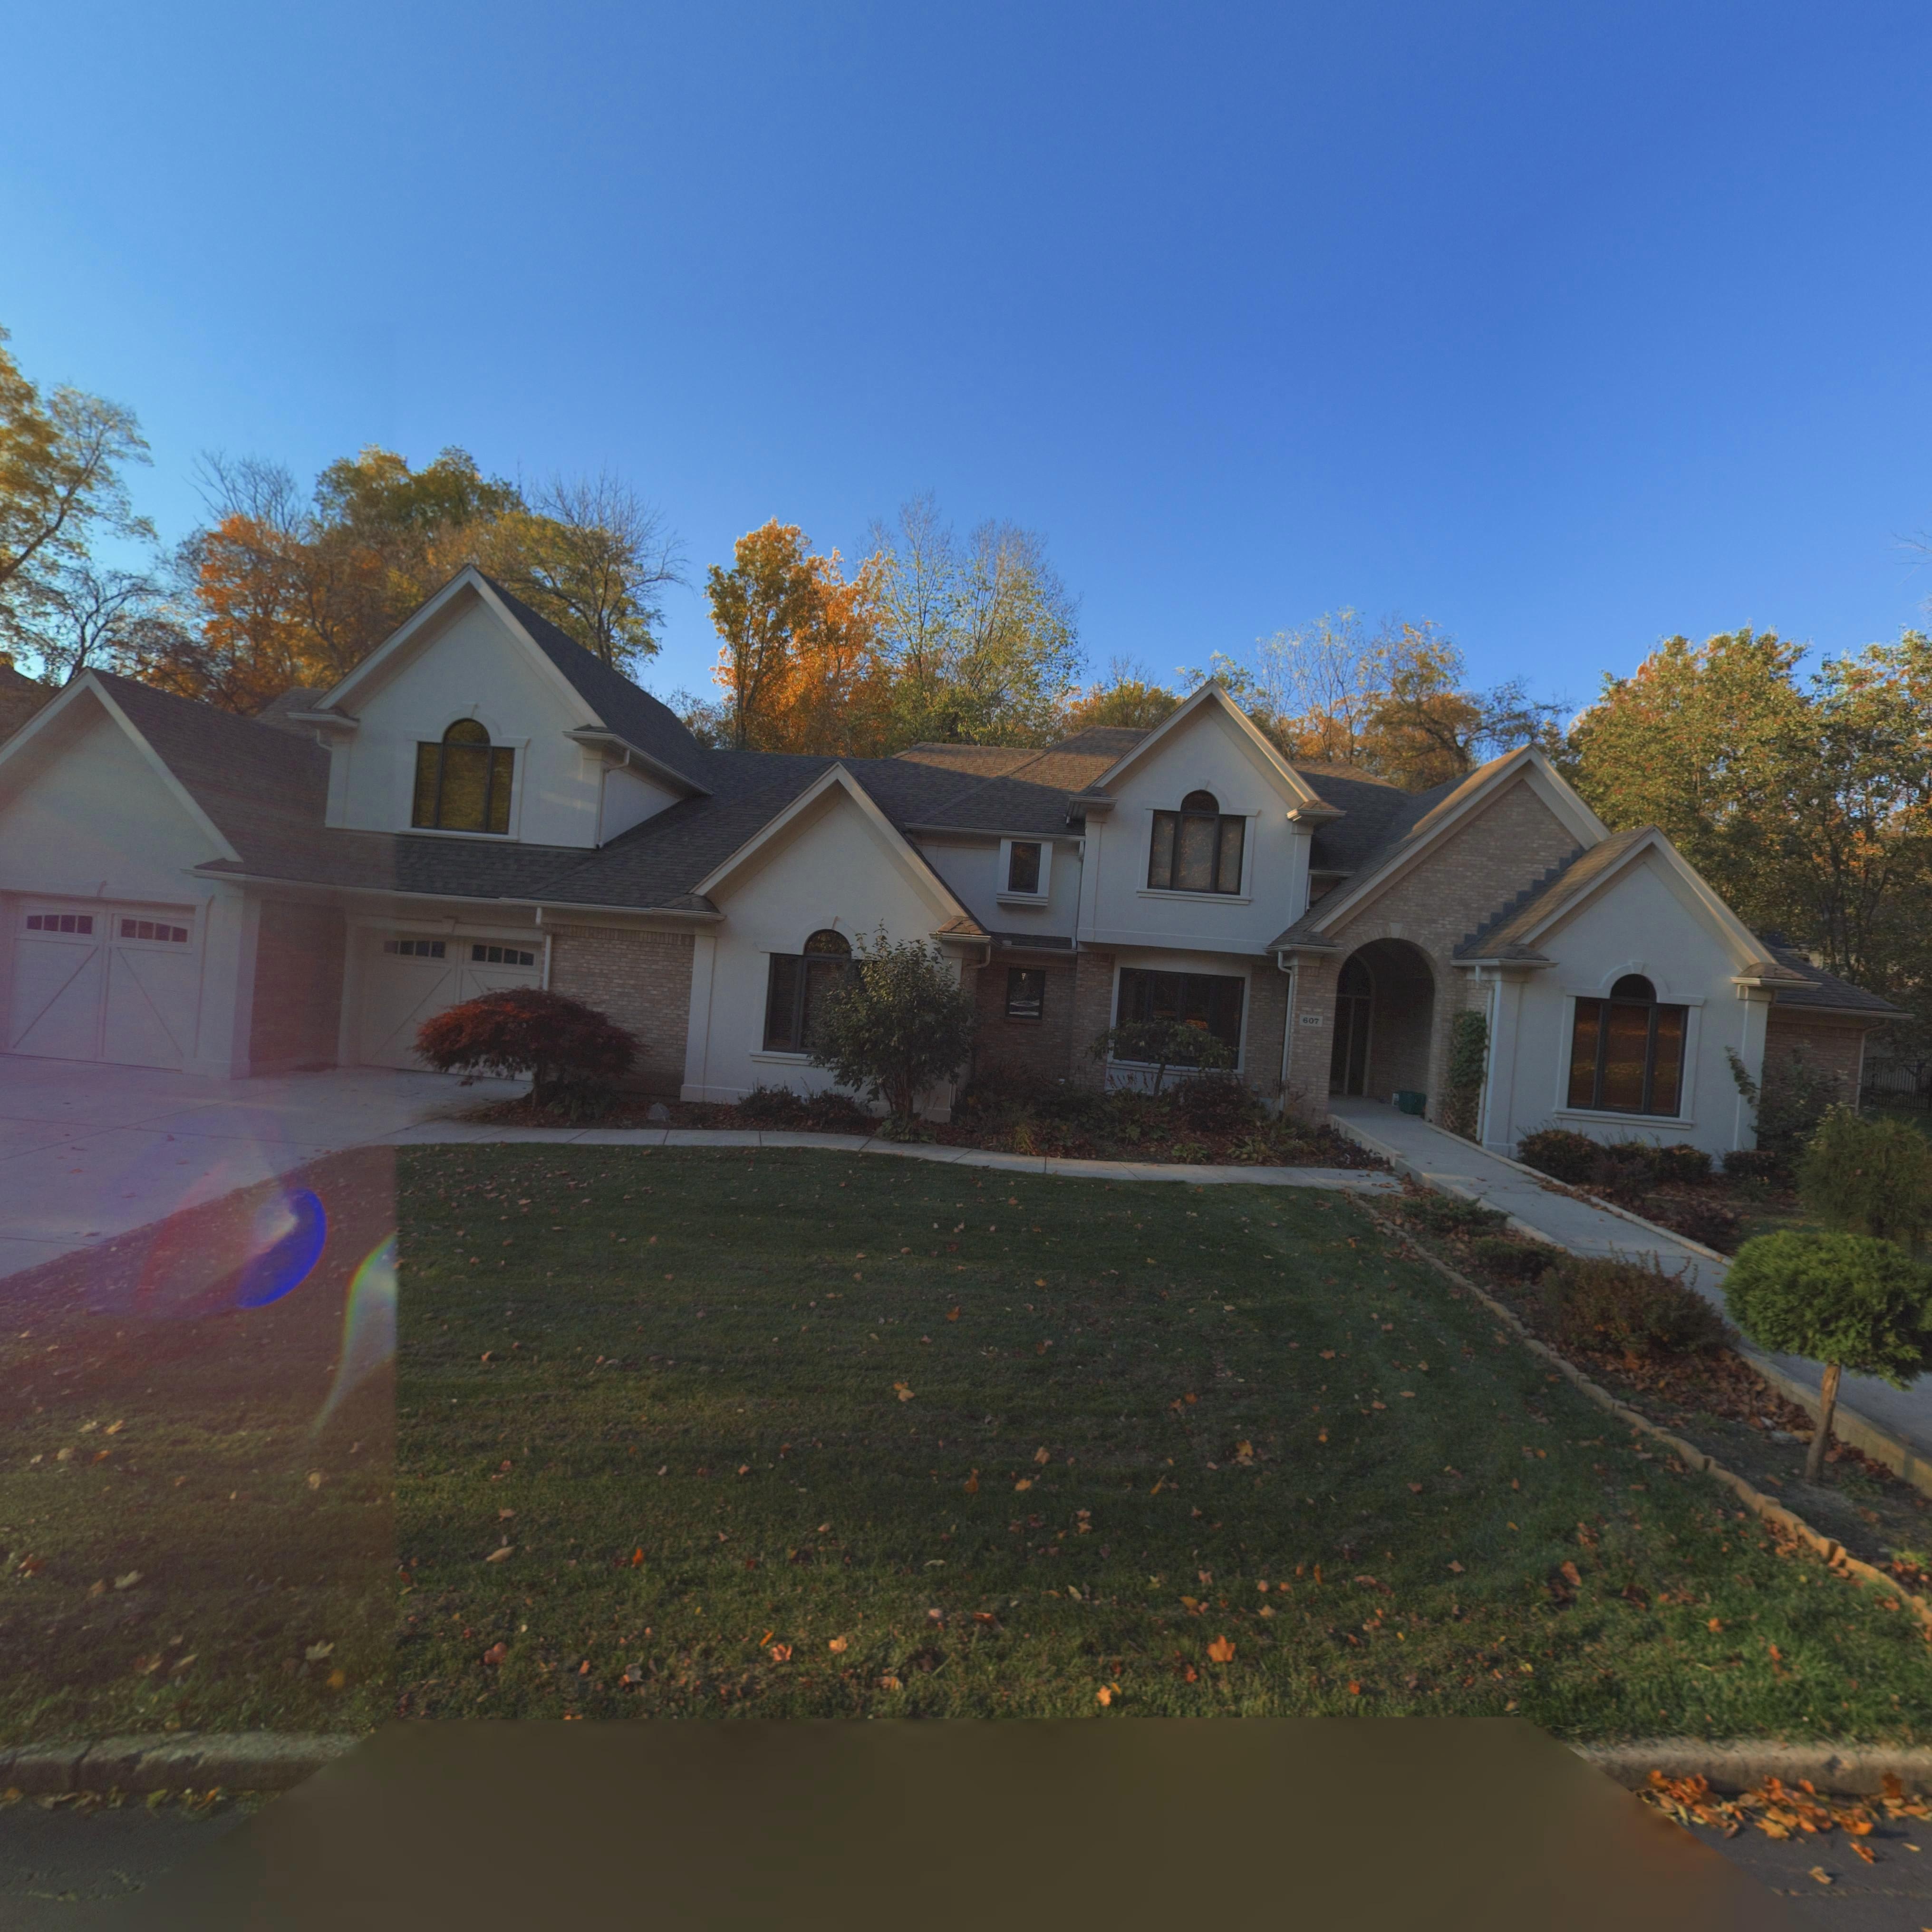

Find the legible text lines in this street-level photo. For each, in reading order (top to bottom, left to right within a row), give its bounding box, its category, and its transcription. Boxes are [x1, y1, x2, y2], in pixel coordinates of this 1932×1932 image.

[1302, 1016, 1320, 1024] StreetNumber: 607